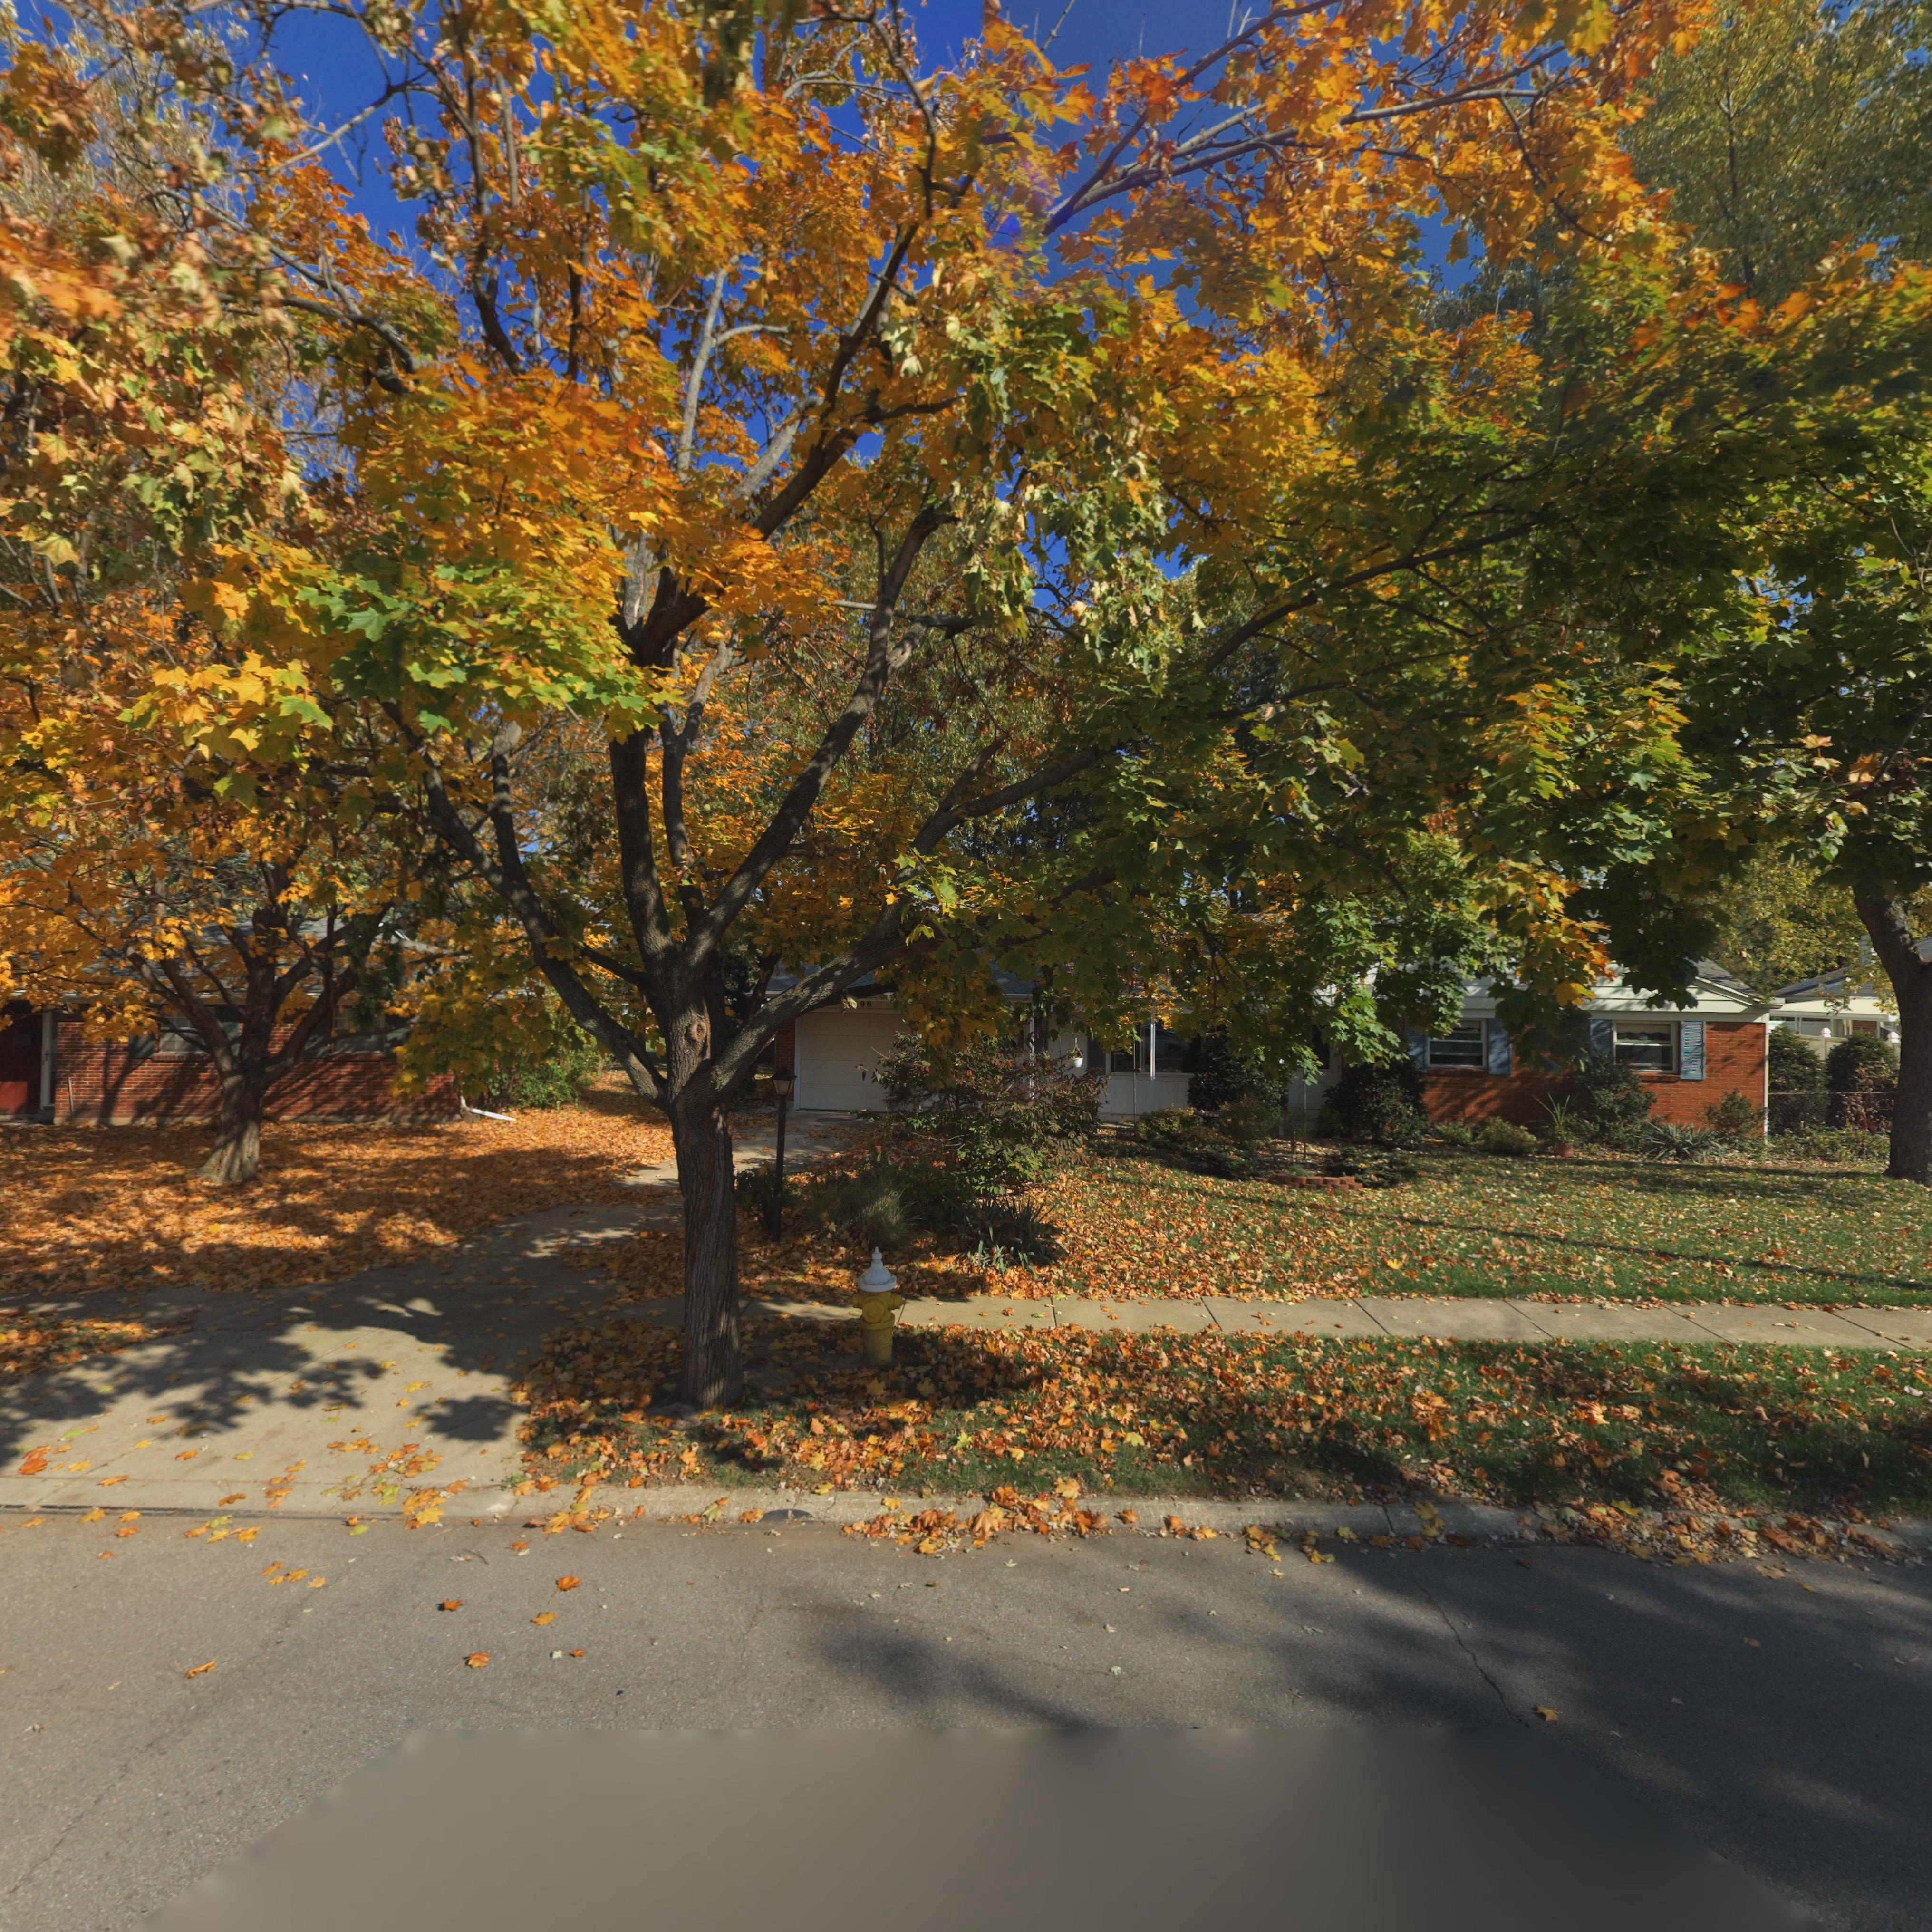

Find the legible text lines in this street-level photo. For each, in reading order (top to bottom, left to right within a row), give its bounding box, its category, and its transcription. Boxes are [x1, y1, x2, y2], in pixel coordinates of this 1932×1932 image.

[859, 999, 873, 1008] StreetNumber: 08